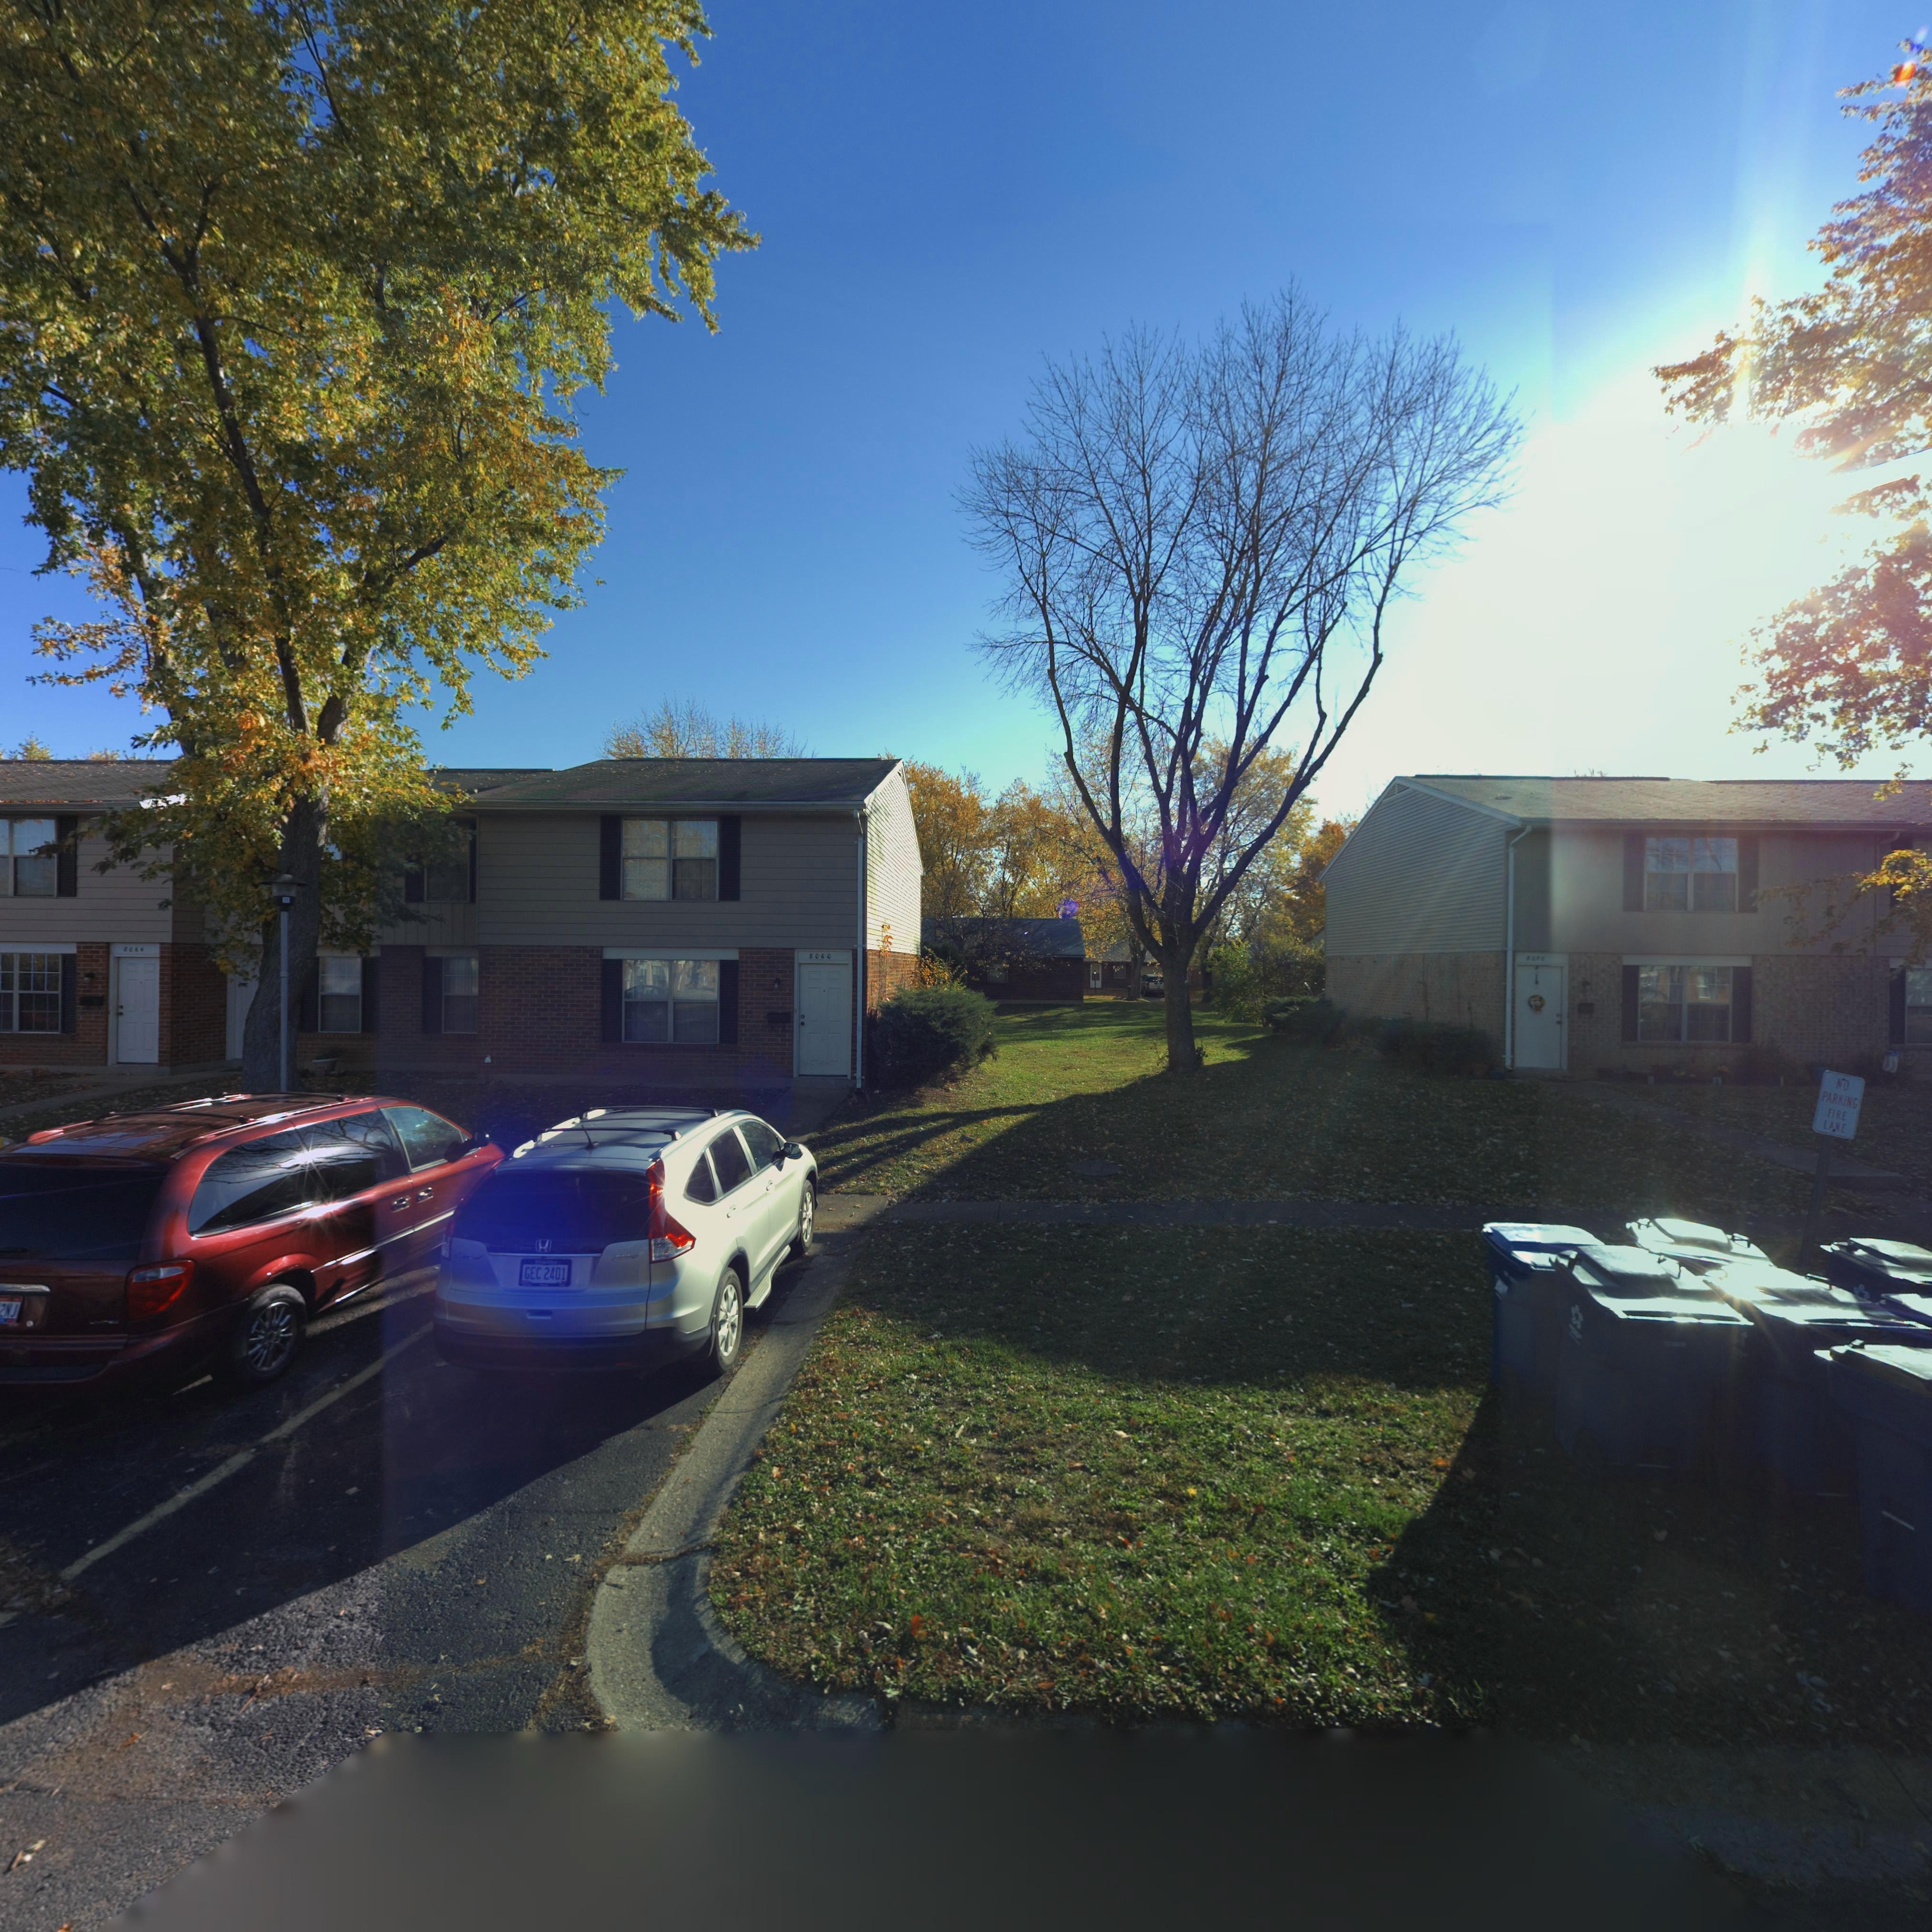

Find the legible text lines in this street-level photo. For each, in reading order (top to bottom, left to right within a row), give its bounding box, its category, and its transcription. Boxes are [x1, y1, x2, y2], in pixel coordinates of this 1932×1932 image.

[123, 947, 144, 952] StreetNumber: 8064
[809, 953, 831, 959] StreetNumber: 8060
[1526, 955, 1546, 961] StreetNumber: 8050